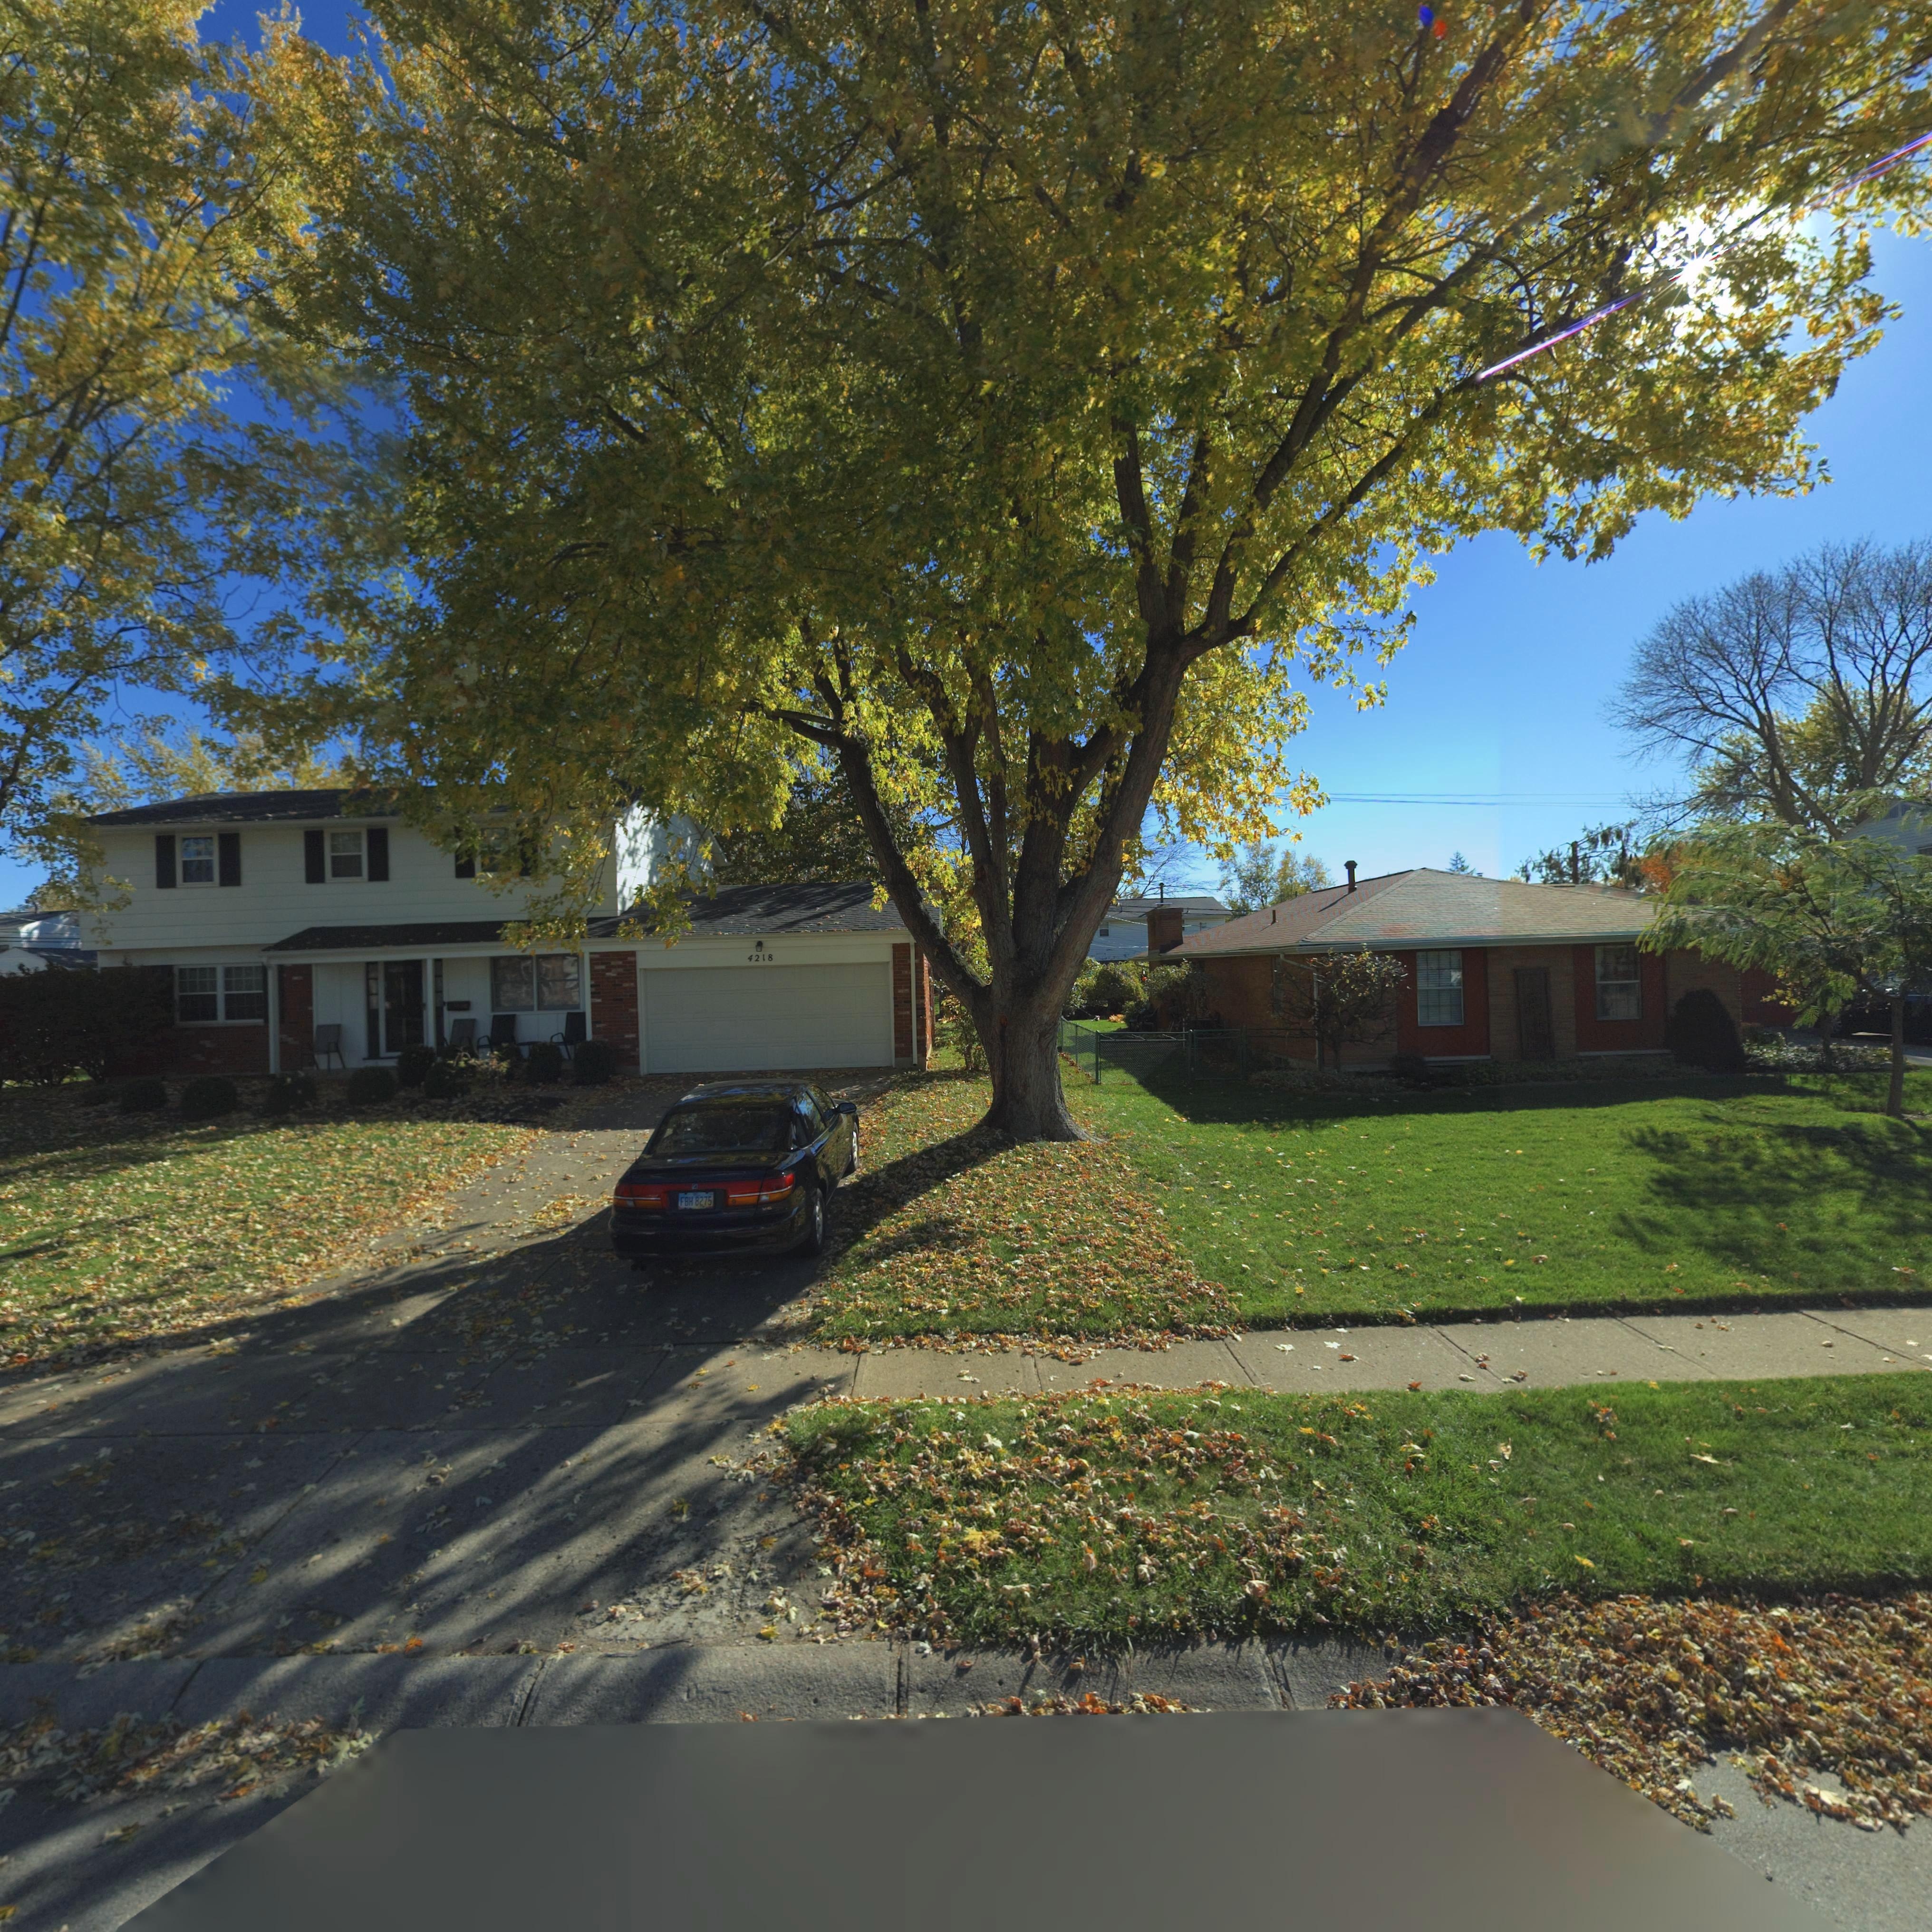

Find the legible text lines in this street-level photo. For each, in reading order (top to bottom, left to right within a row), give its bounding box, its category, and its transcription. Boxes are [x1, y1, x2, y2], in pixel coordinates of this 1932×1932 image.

[746, 953, 774, 963] StreetNumber: 4218
[679, 1196, 713, 1207] None: FBH*8275
[761, 1206, 773, 1211] None: v6